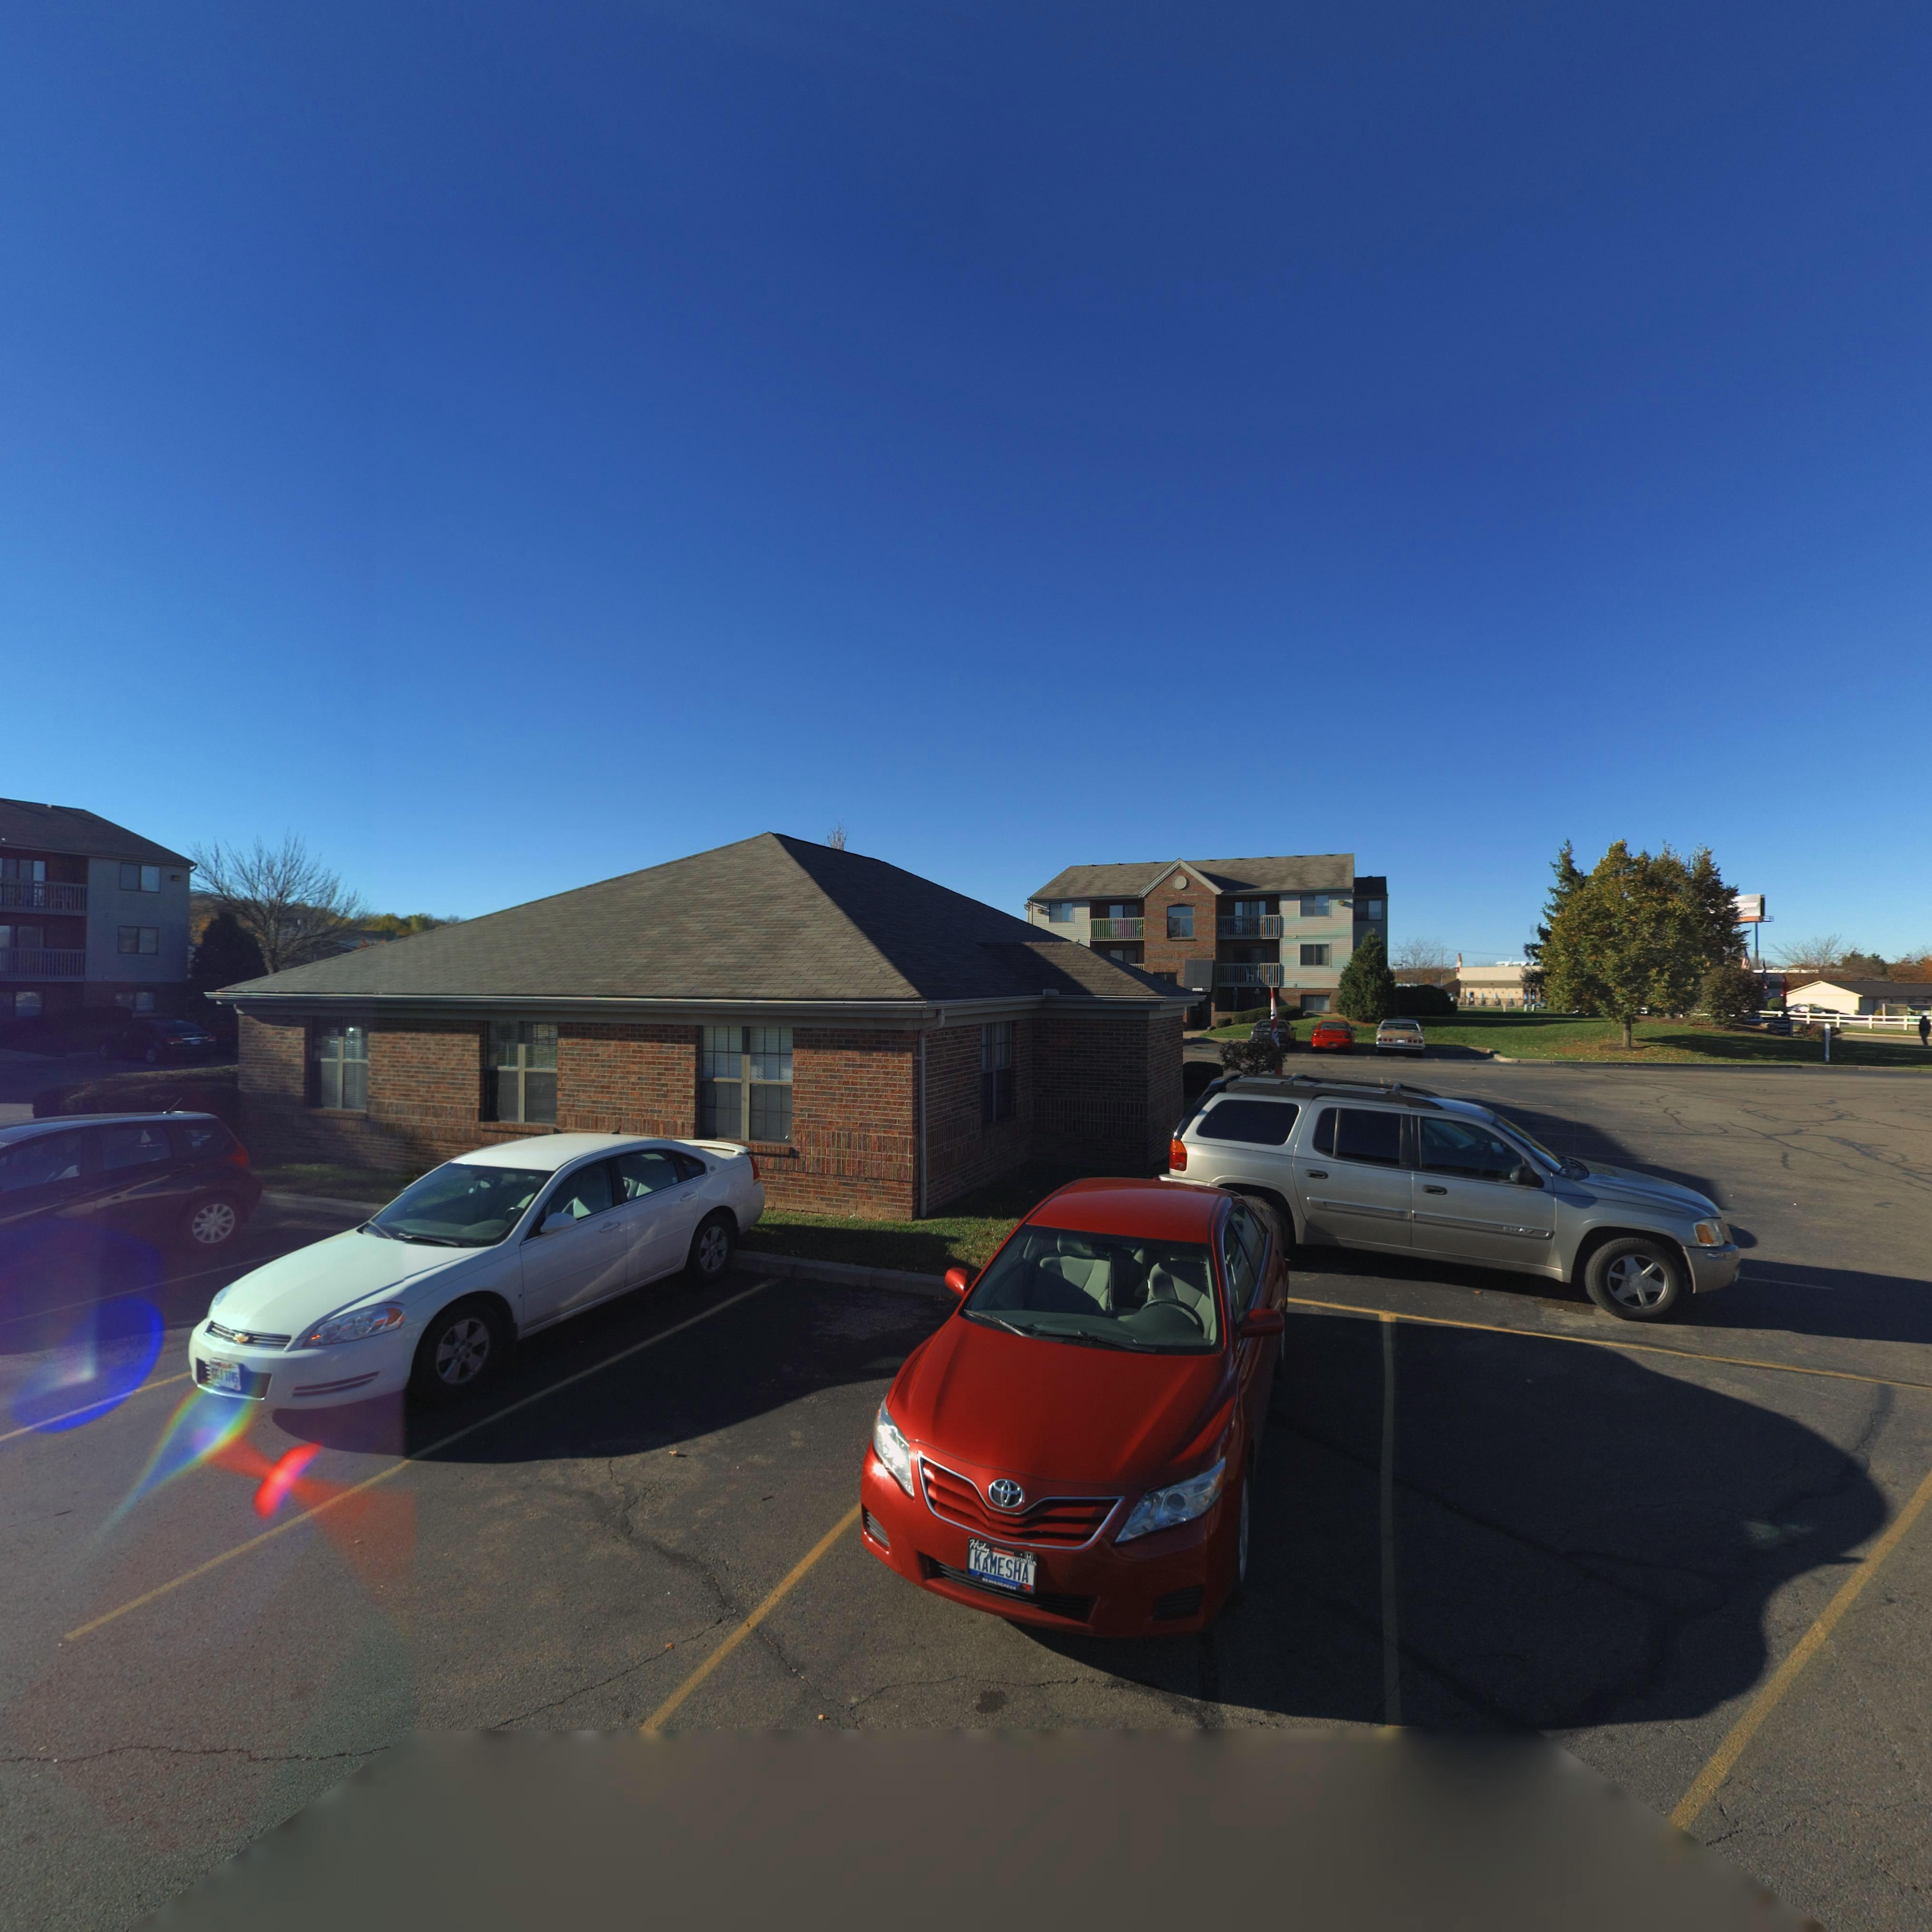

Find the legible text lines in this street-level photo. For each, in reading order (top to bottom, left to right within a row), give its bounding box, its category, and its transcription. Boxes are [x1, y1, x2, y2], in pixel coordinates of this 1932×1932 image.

[1192, 987, 1203, 991] StreetNumber: 2